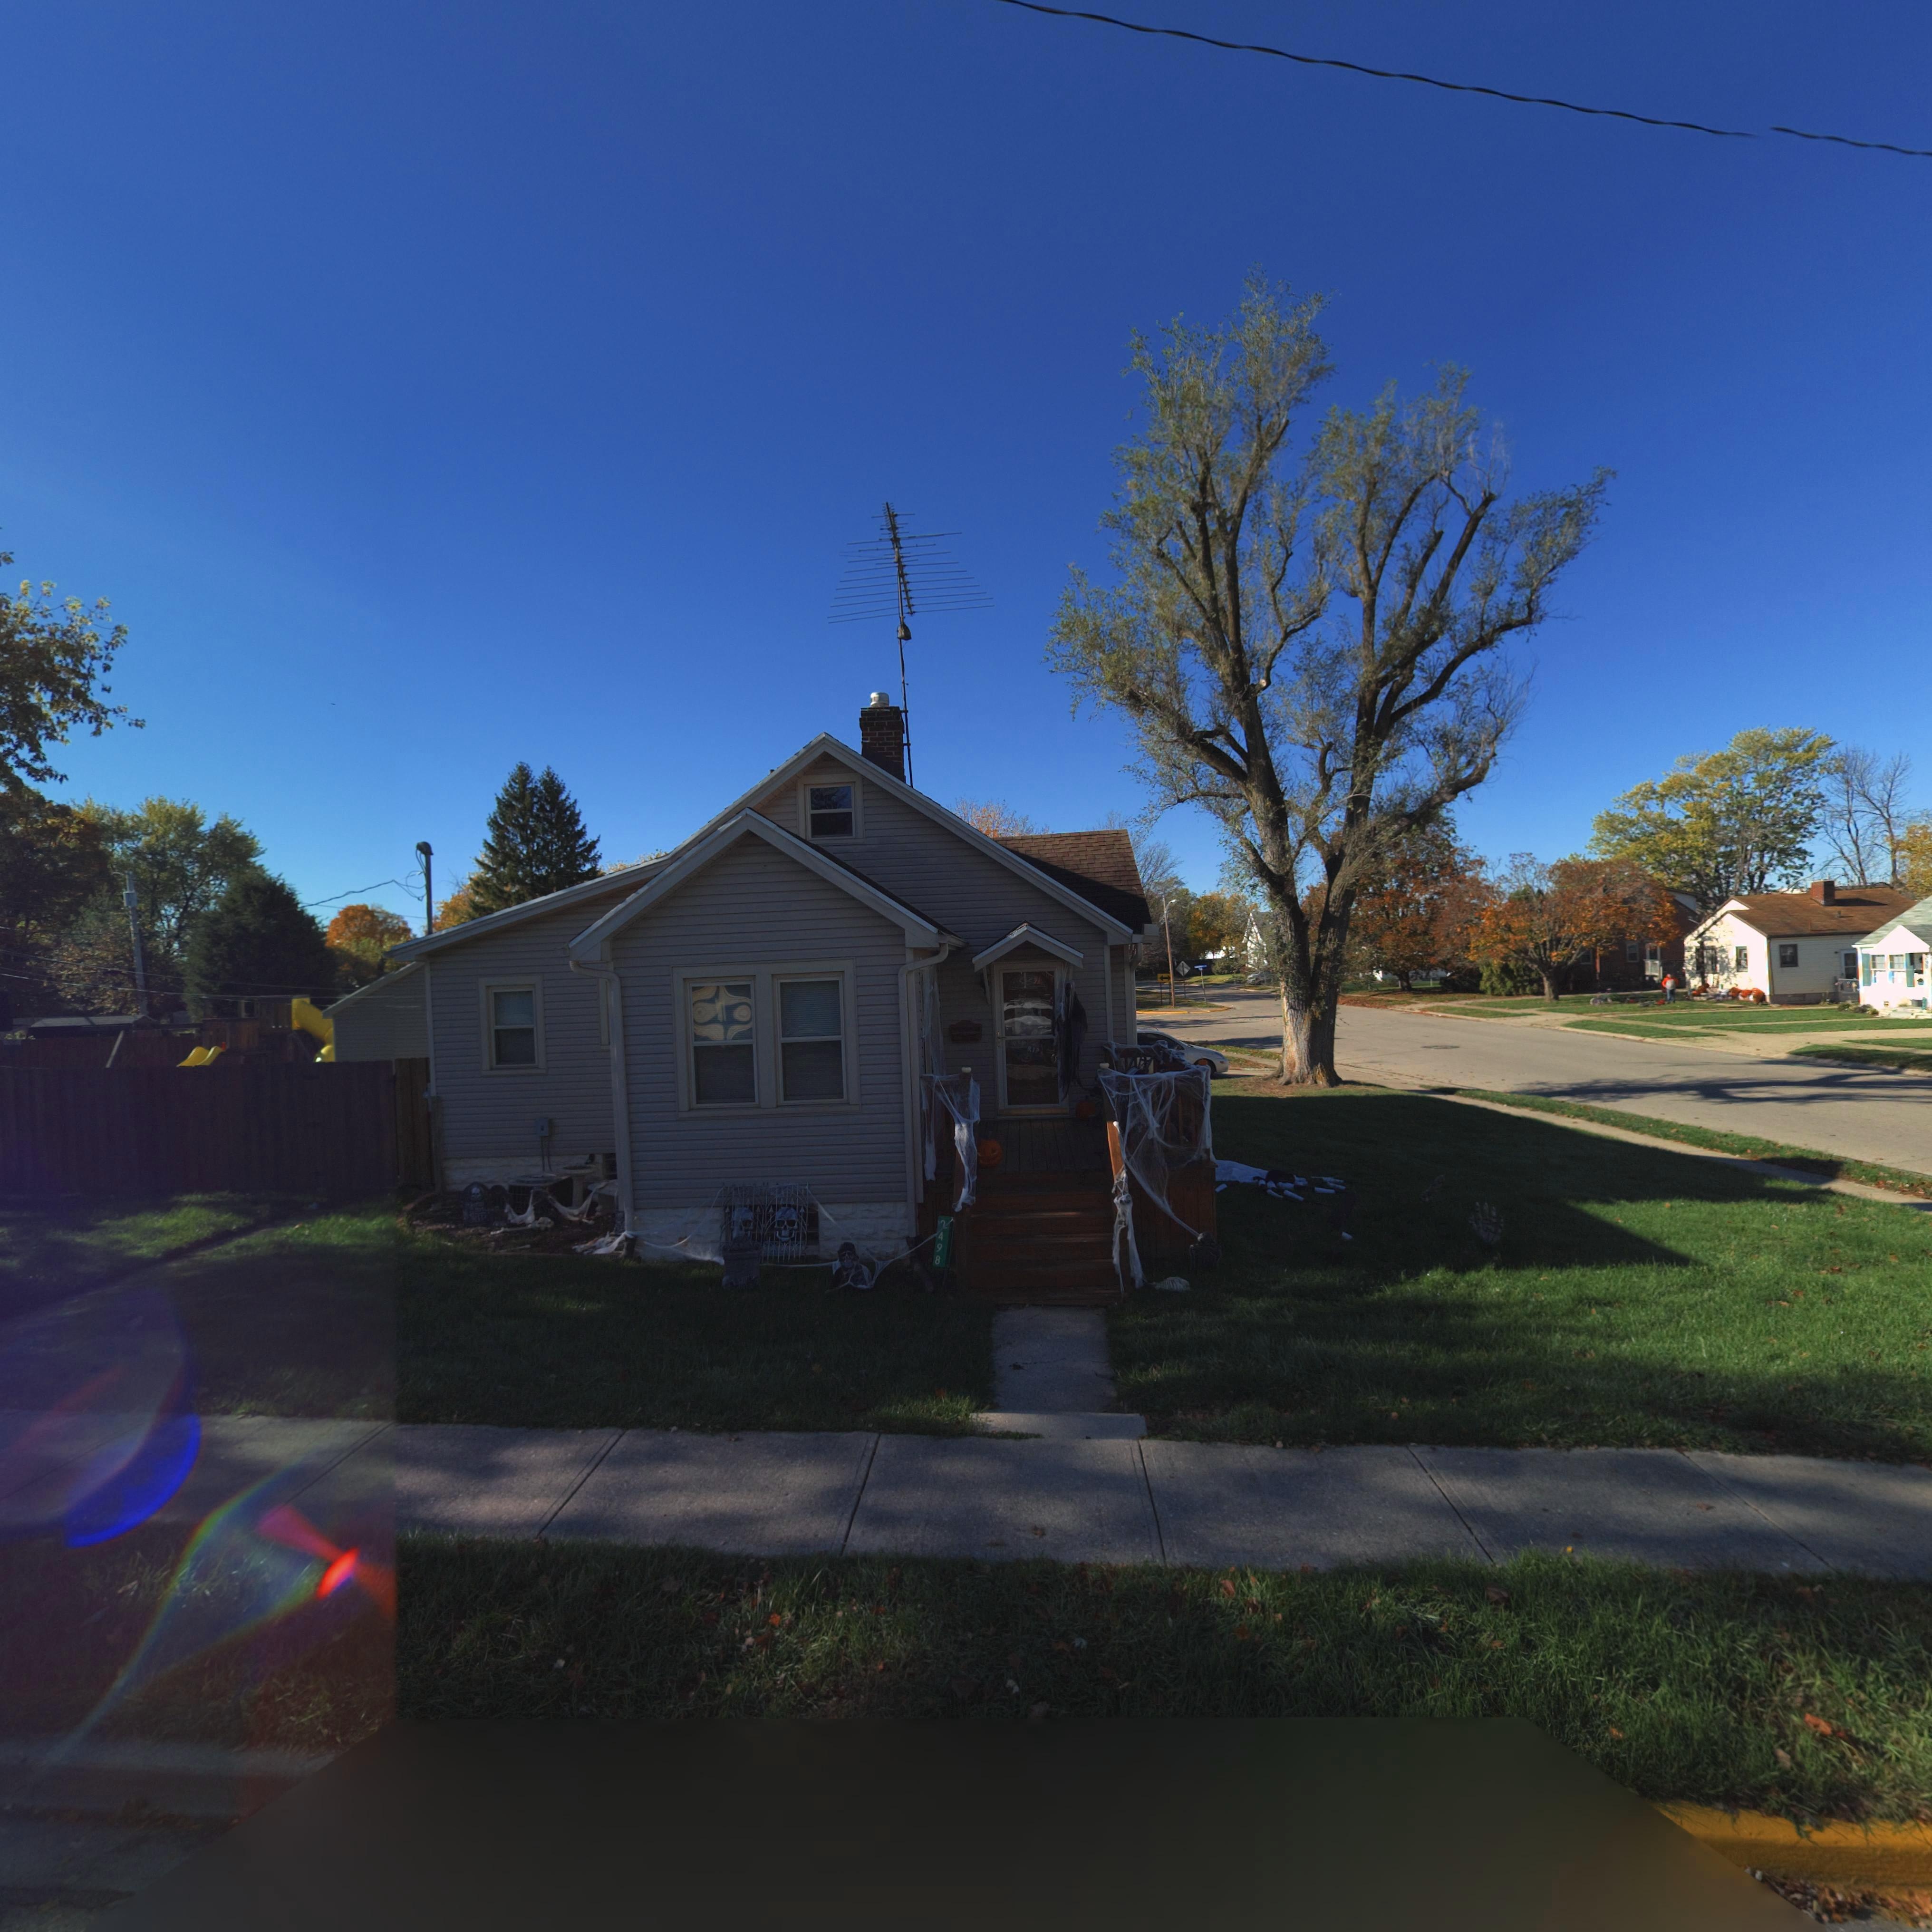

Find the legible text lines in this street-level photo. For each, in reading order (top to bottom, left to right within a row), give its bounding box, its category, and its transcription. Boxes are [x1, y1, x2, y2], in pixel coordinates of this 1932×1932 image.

[934, 1218, 948, 1266] StreetNumber: *498